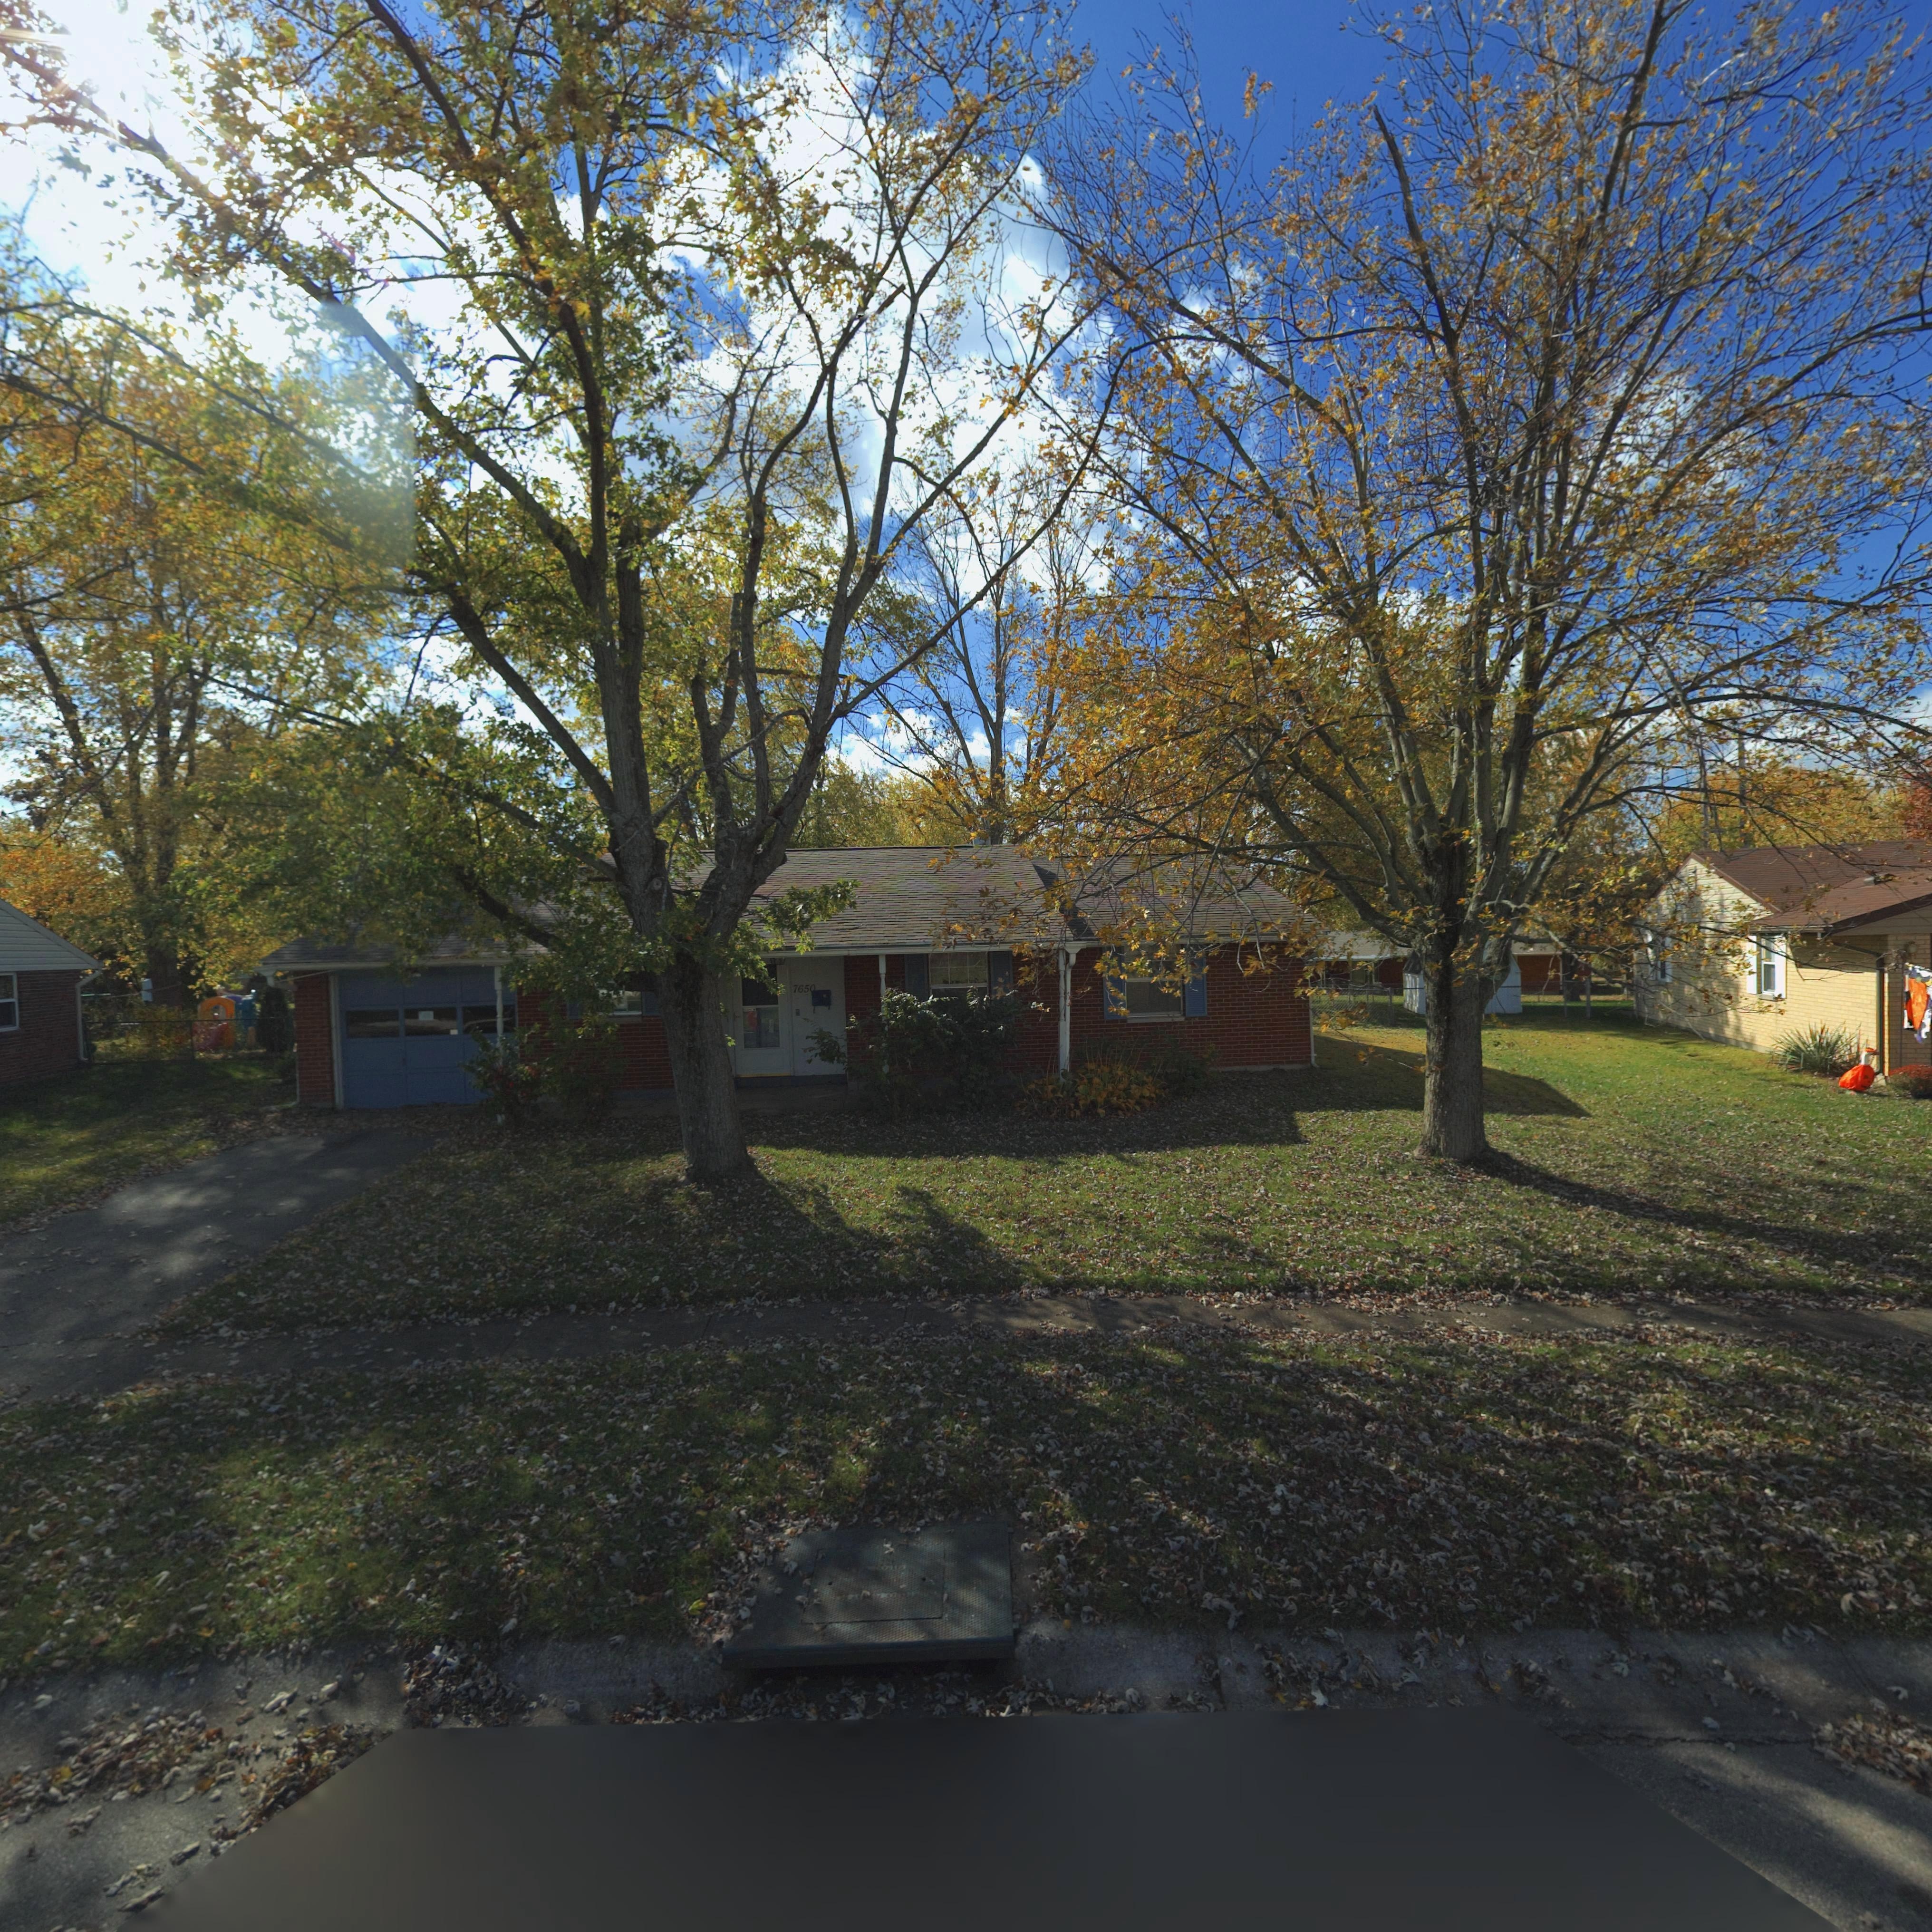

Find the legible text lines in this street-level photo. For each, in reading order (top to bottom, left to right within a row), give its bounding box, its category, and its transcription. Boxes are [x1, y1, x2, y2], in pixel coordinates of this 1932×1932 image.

[792, 984, 816, 993] StreetNumber: 7650